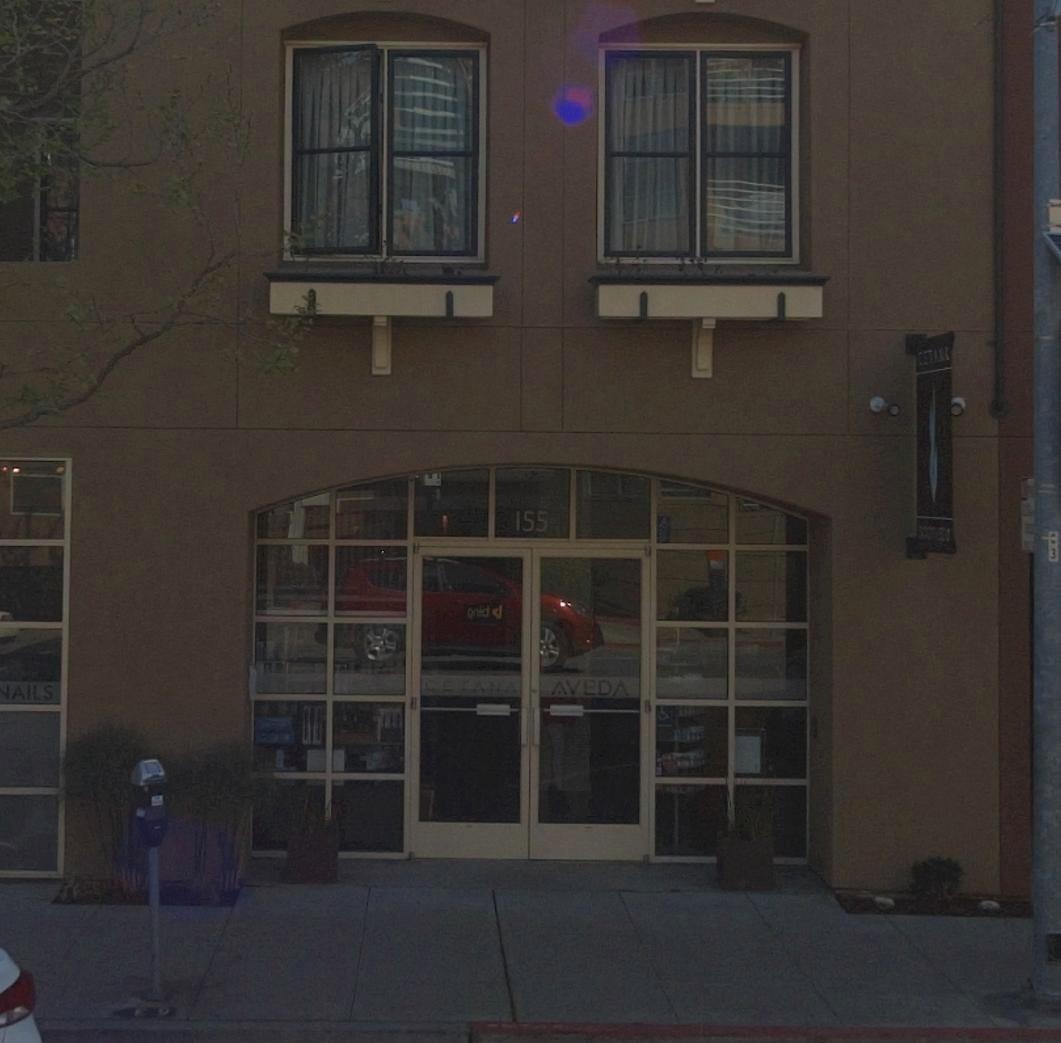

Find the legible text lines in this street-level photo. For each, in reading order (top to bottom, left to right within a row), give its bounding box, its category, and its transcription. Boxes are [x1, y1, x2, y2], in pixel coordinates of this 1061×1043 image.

[512, 508, 552, 535] StreetNumber: 155
[465, 603, 491, 620] None: **i*
[8, 683, 56, 703] None: AILS
[422, 678, 519, 696] None: CETANA
[547, 677, 633, 699] None: AVEDA